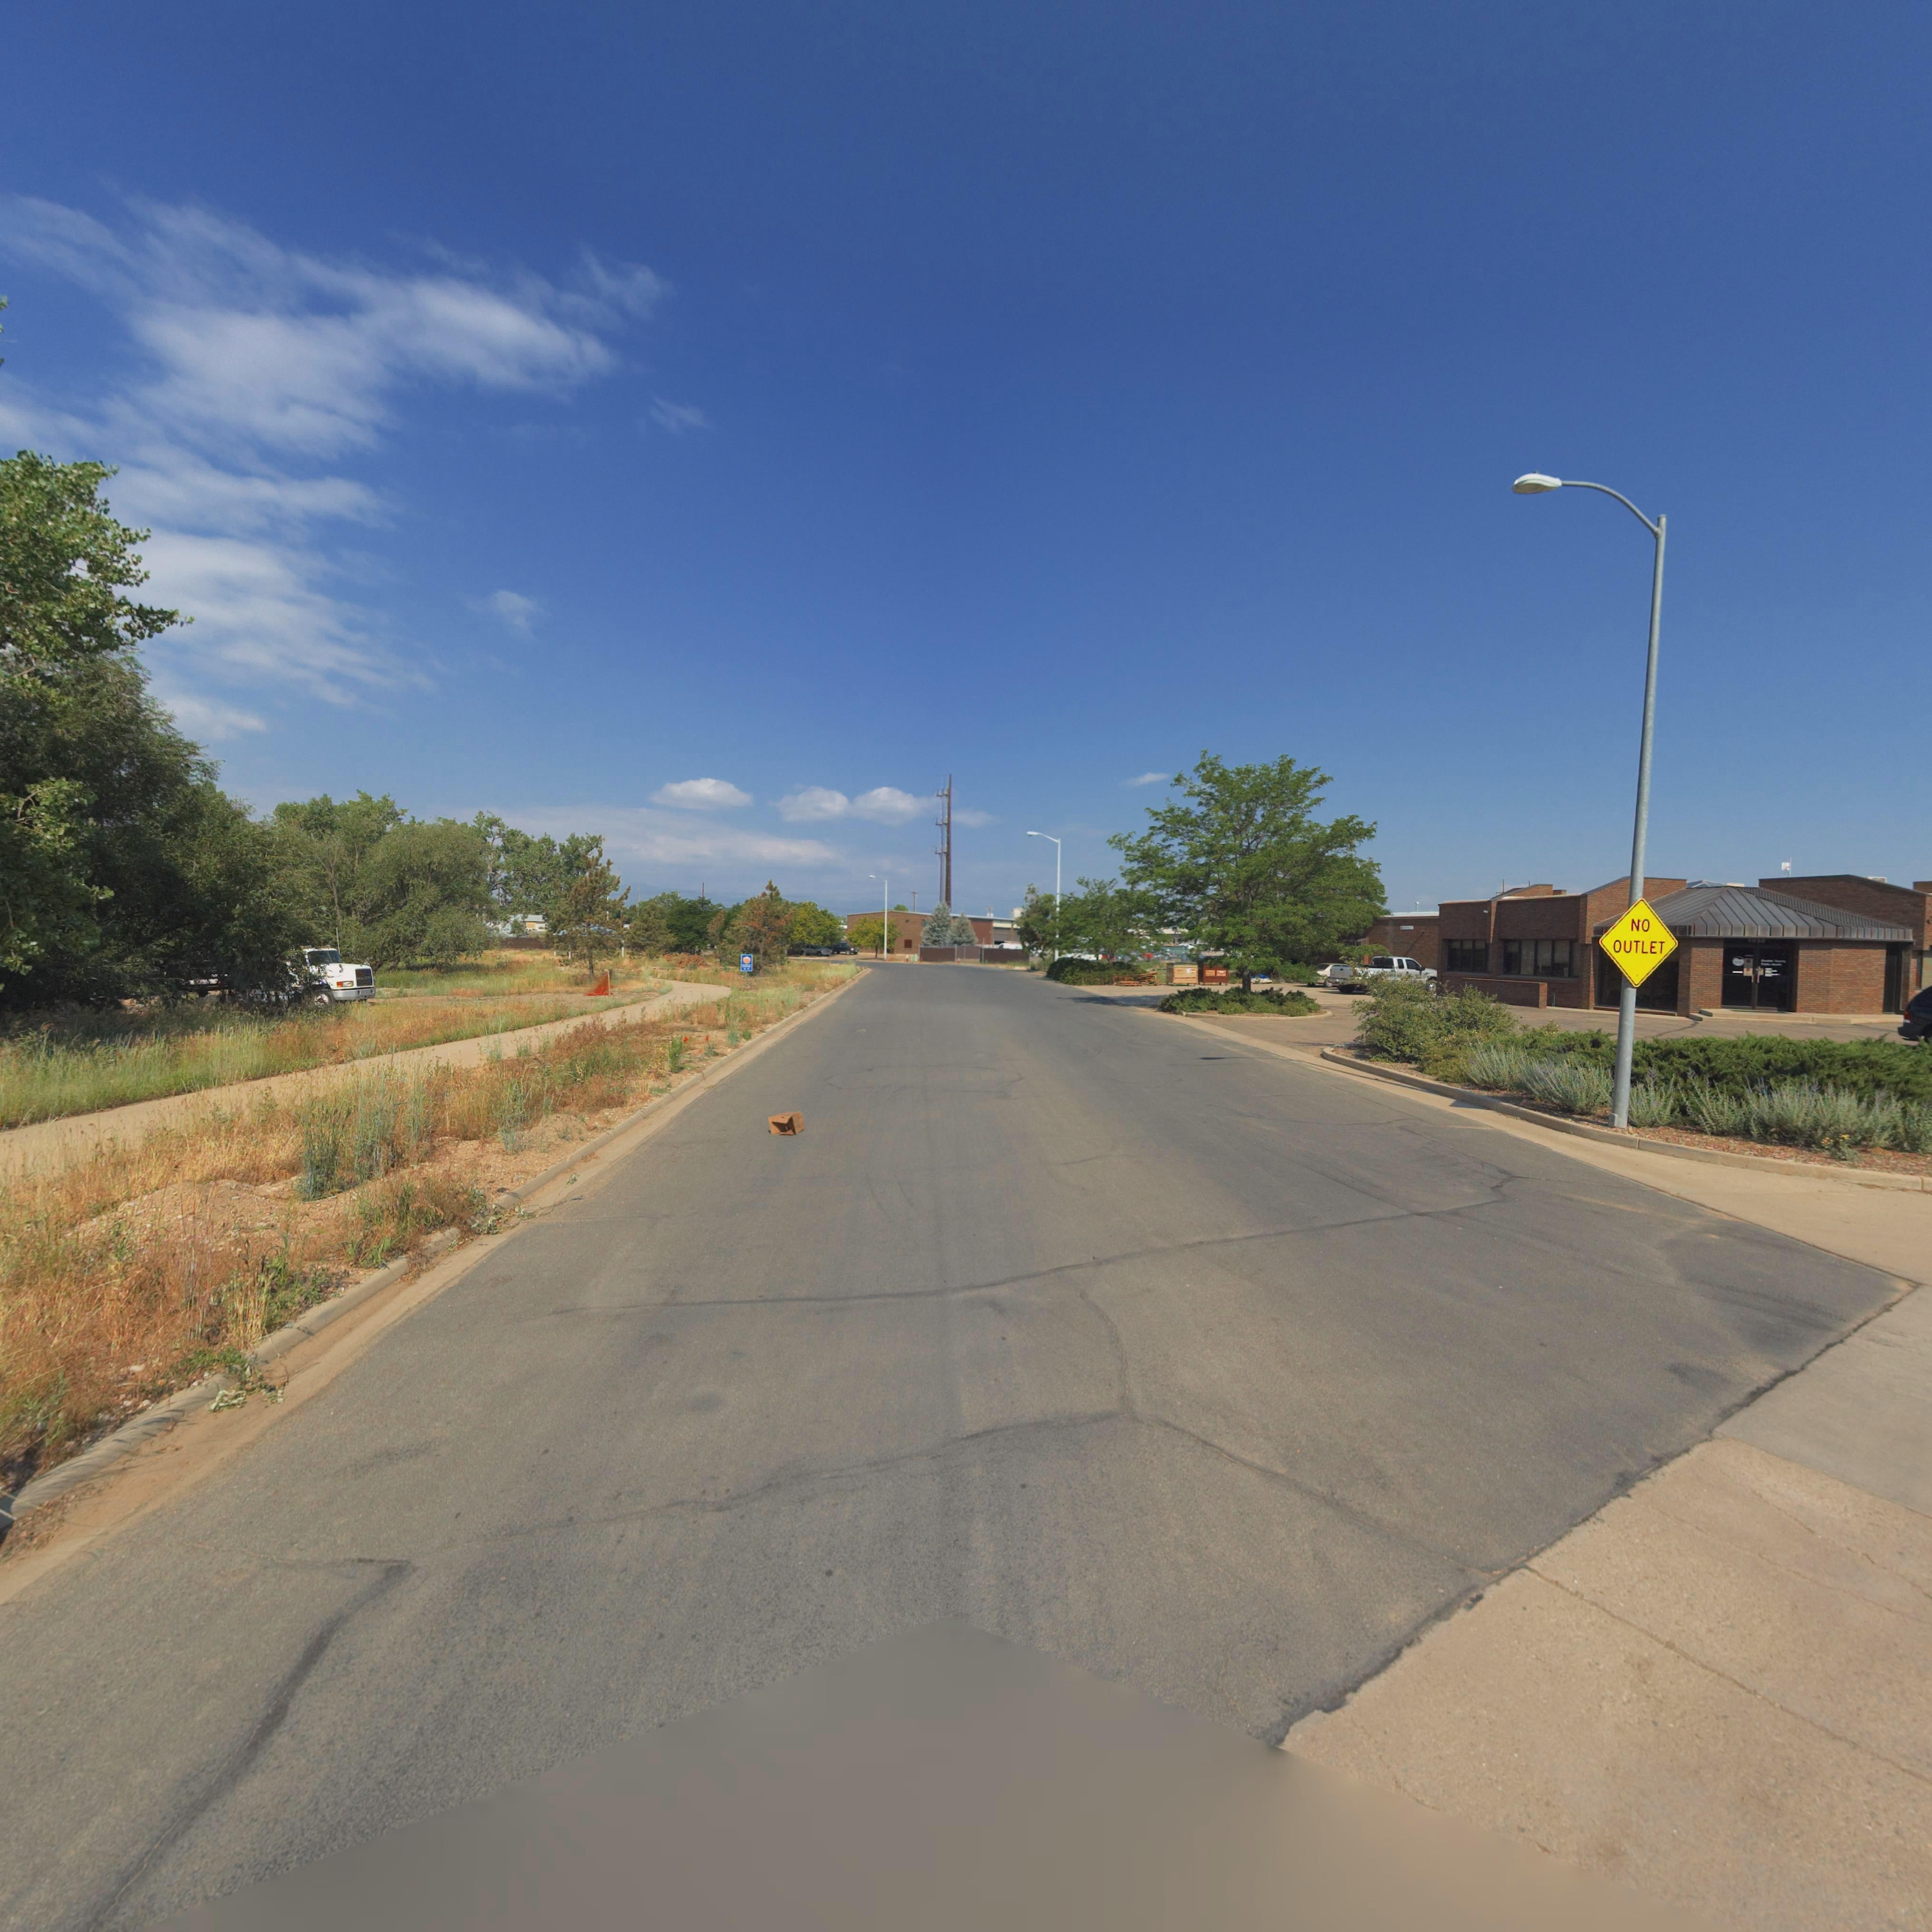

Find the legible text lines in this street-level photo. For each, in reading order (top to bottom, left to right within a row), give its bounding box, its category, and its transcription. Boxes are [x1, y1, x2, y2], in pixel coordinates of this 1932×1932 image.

[1748, 938, 1766, 943] StreetNumber: 10*0